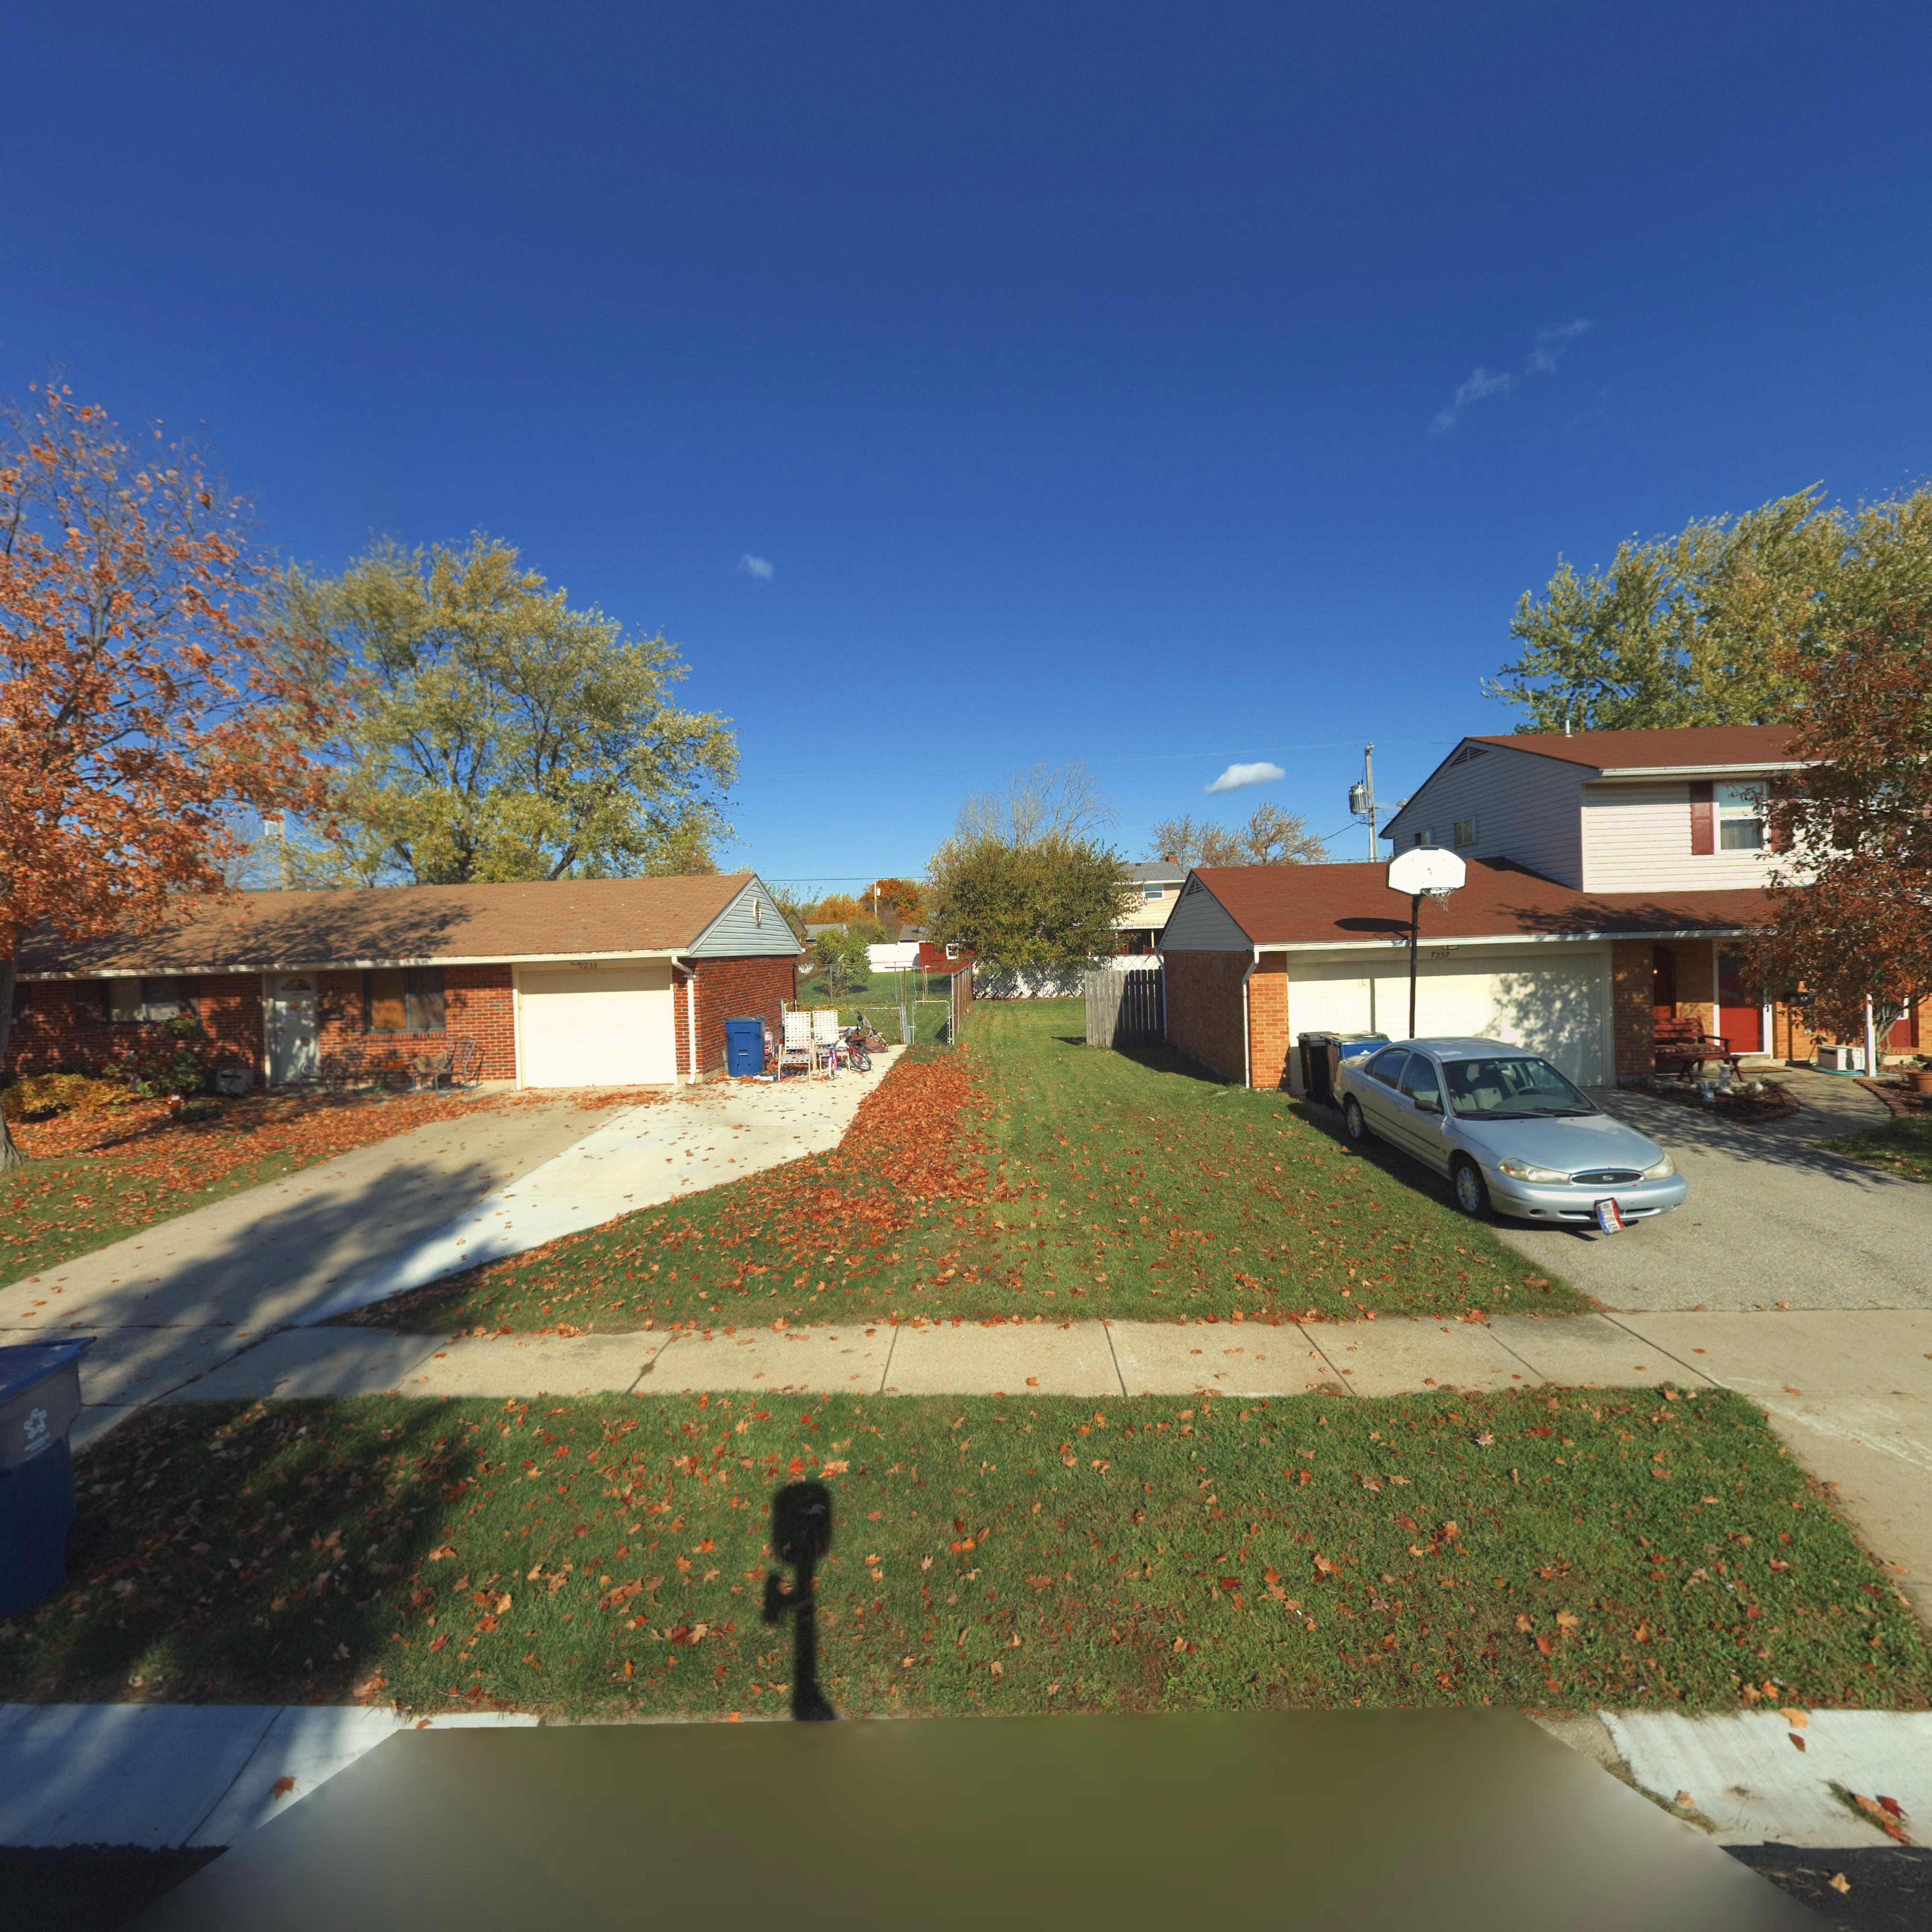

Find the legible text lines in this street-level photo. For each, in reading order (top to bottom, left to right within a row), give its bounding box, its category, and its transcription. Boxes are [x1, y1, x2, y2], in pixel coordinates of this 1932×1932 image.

[1430, 951, 1451, 960] StreetNumber: 72*7
[583, 960, 599, 970] StreetNumber: 233